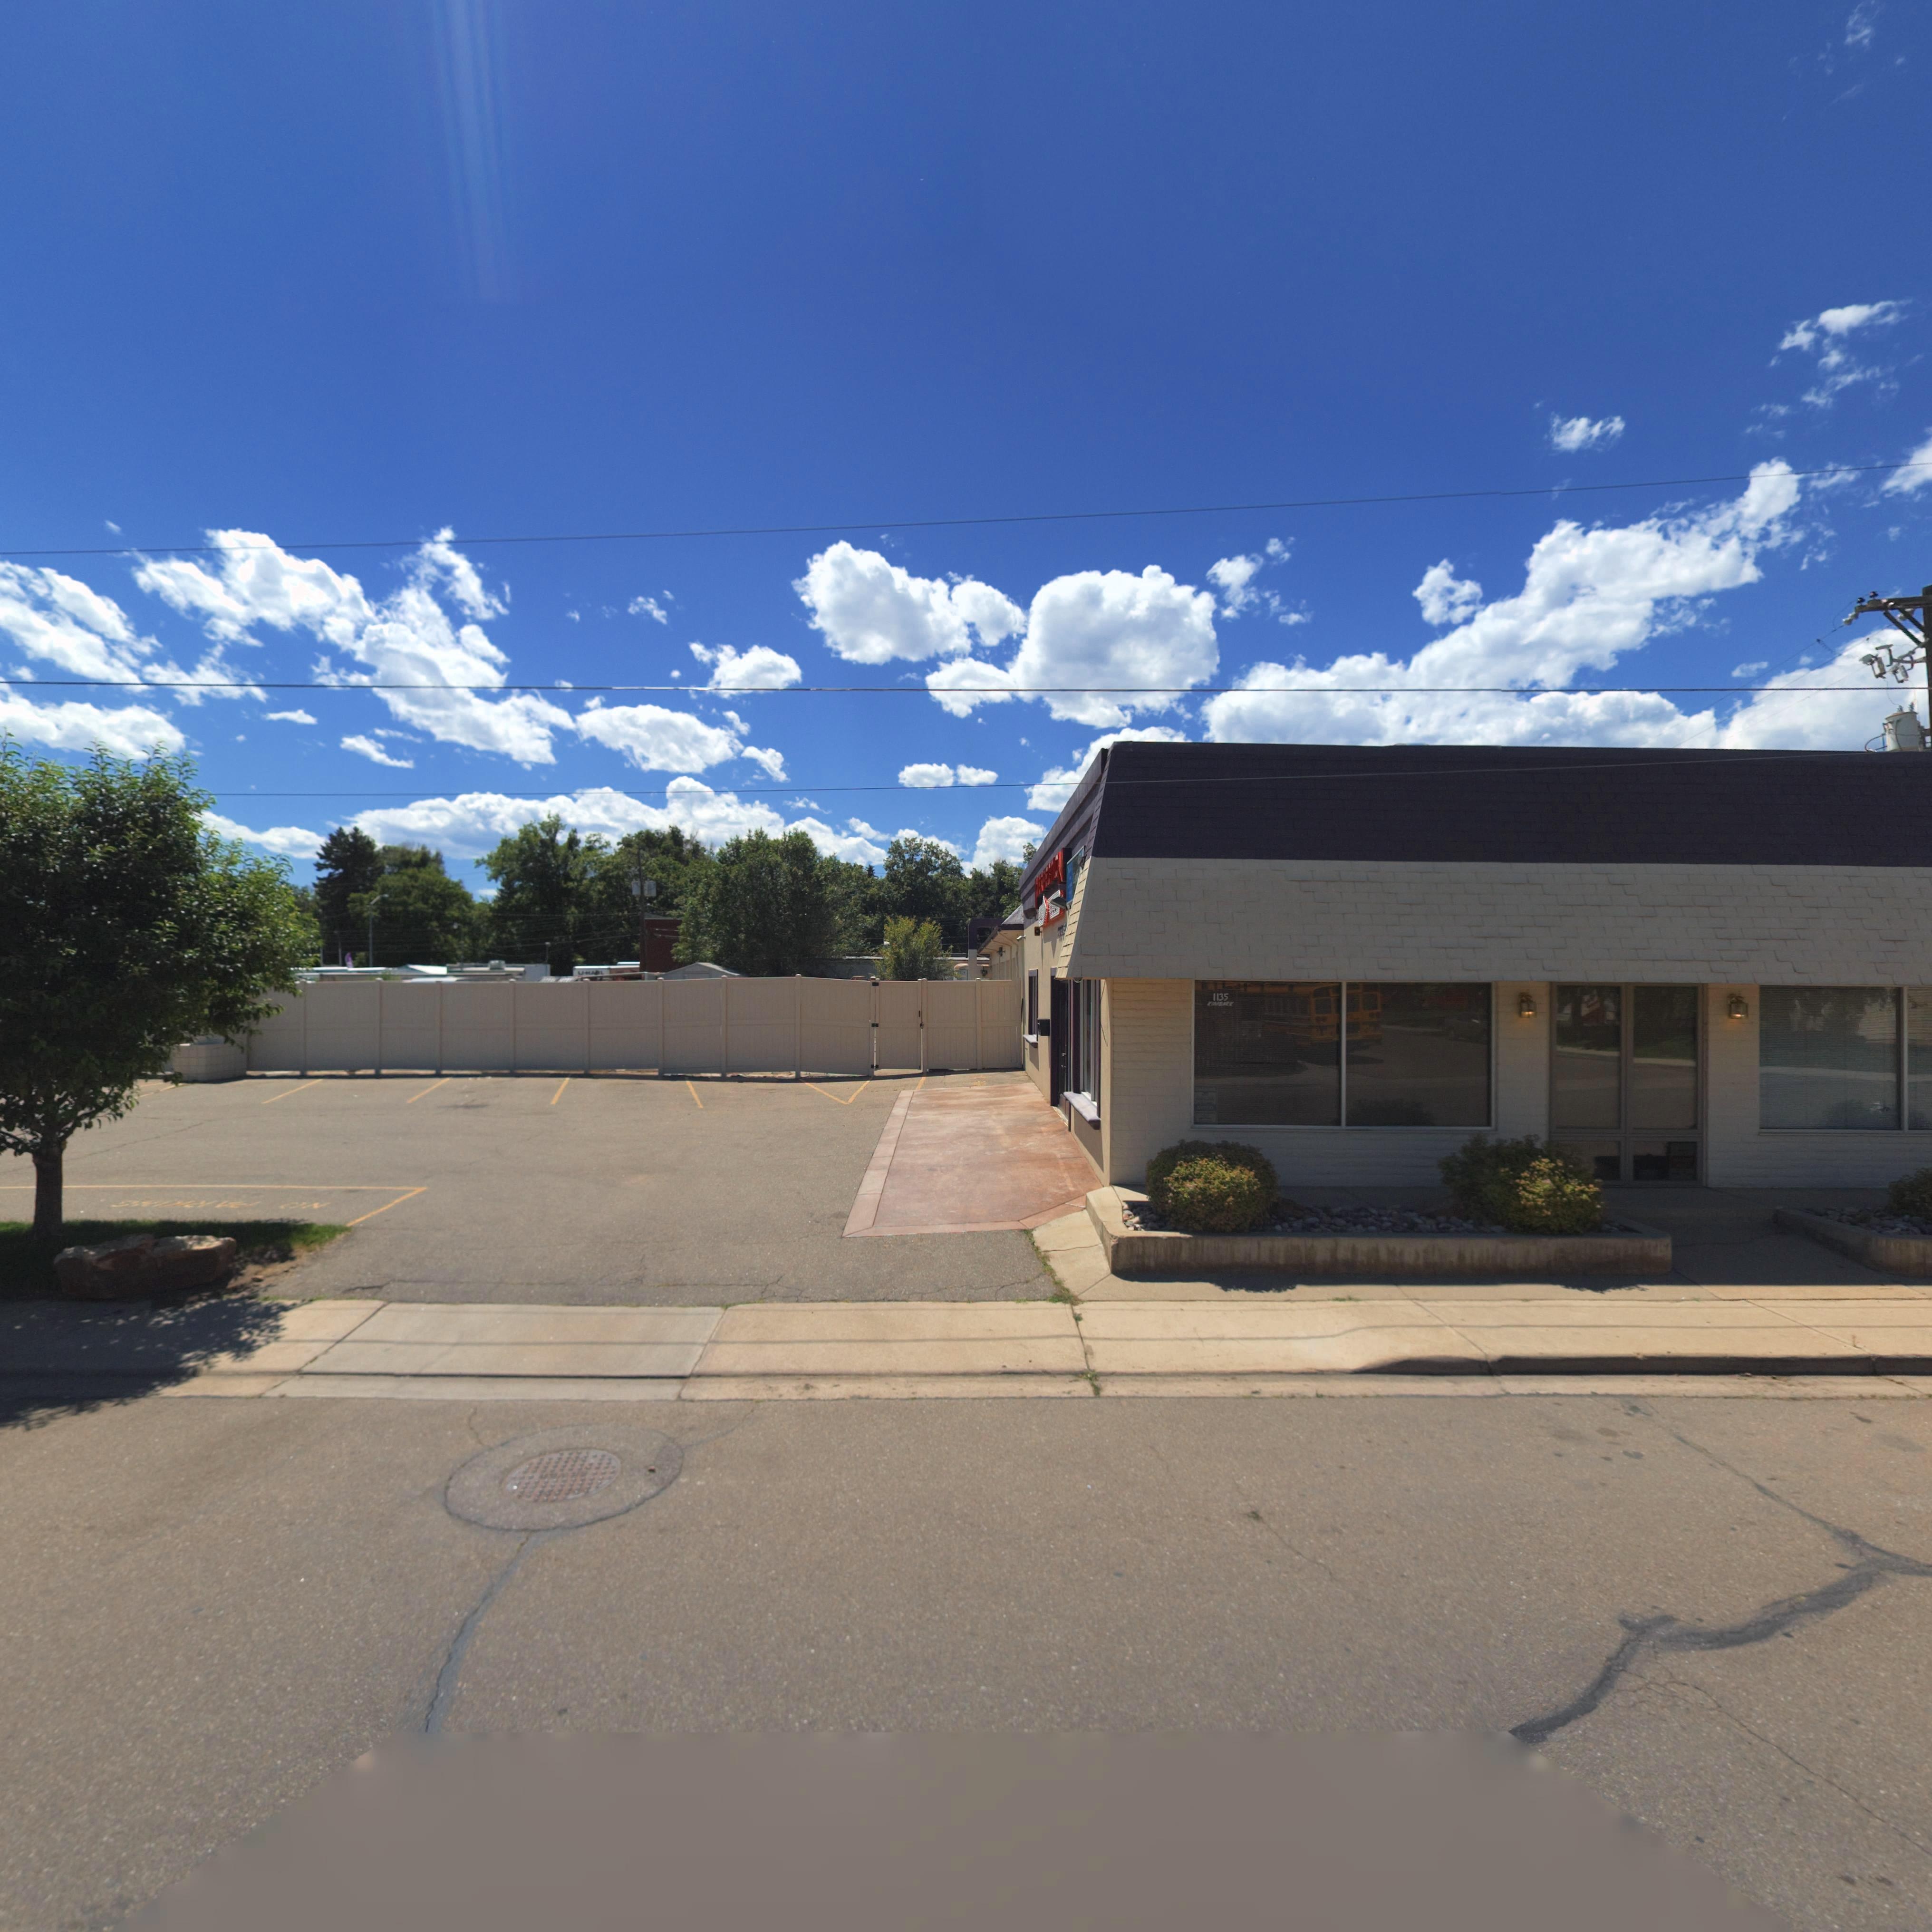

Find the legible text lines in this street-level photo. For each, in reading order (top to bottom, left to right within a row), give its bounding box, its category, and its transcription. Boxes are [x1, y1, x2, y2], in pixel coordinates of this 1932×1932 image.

[1034, 850, 1063, 910] BusinessName: PE*******
[1213, 993, 1228, 1001] StreetNumber: 1135
[1207, 1001, 1234, 1006] StreetName: *I*B*R*